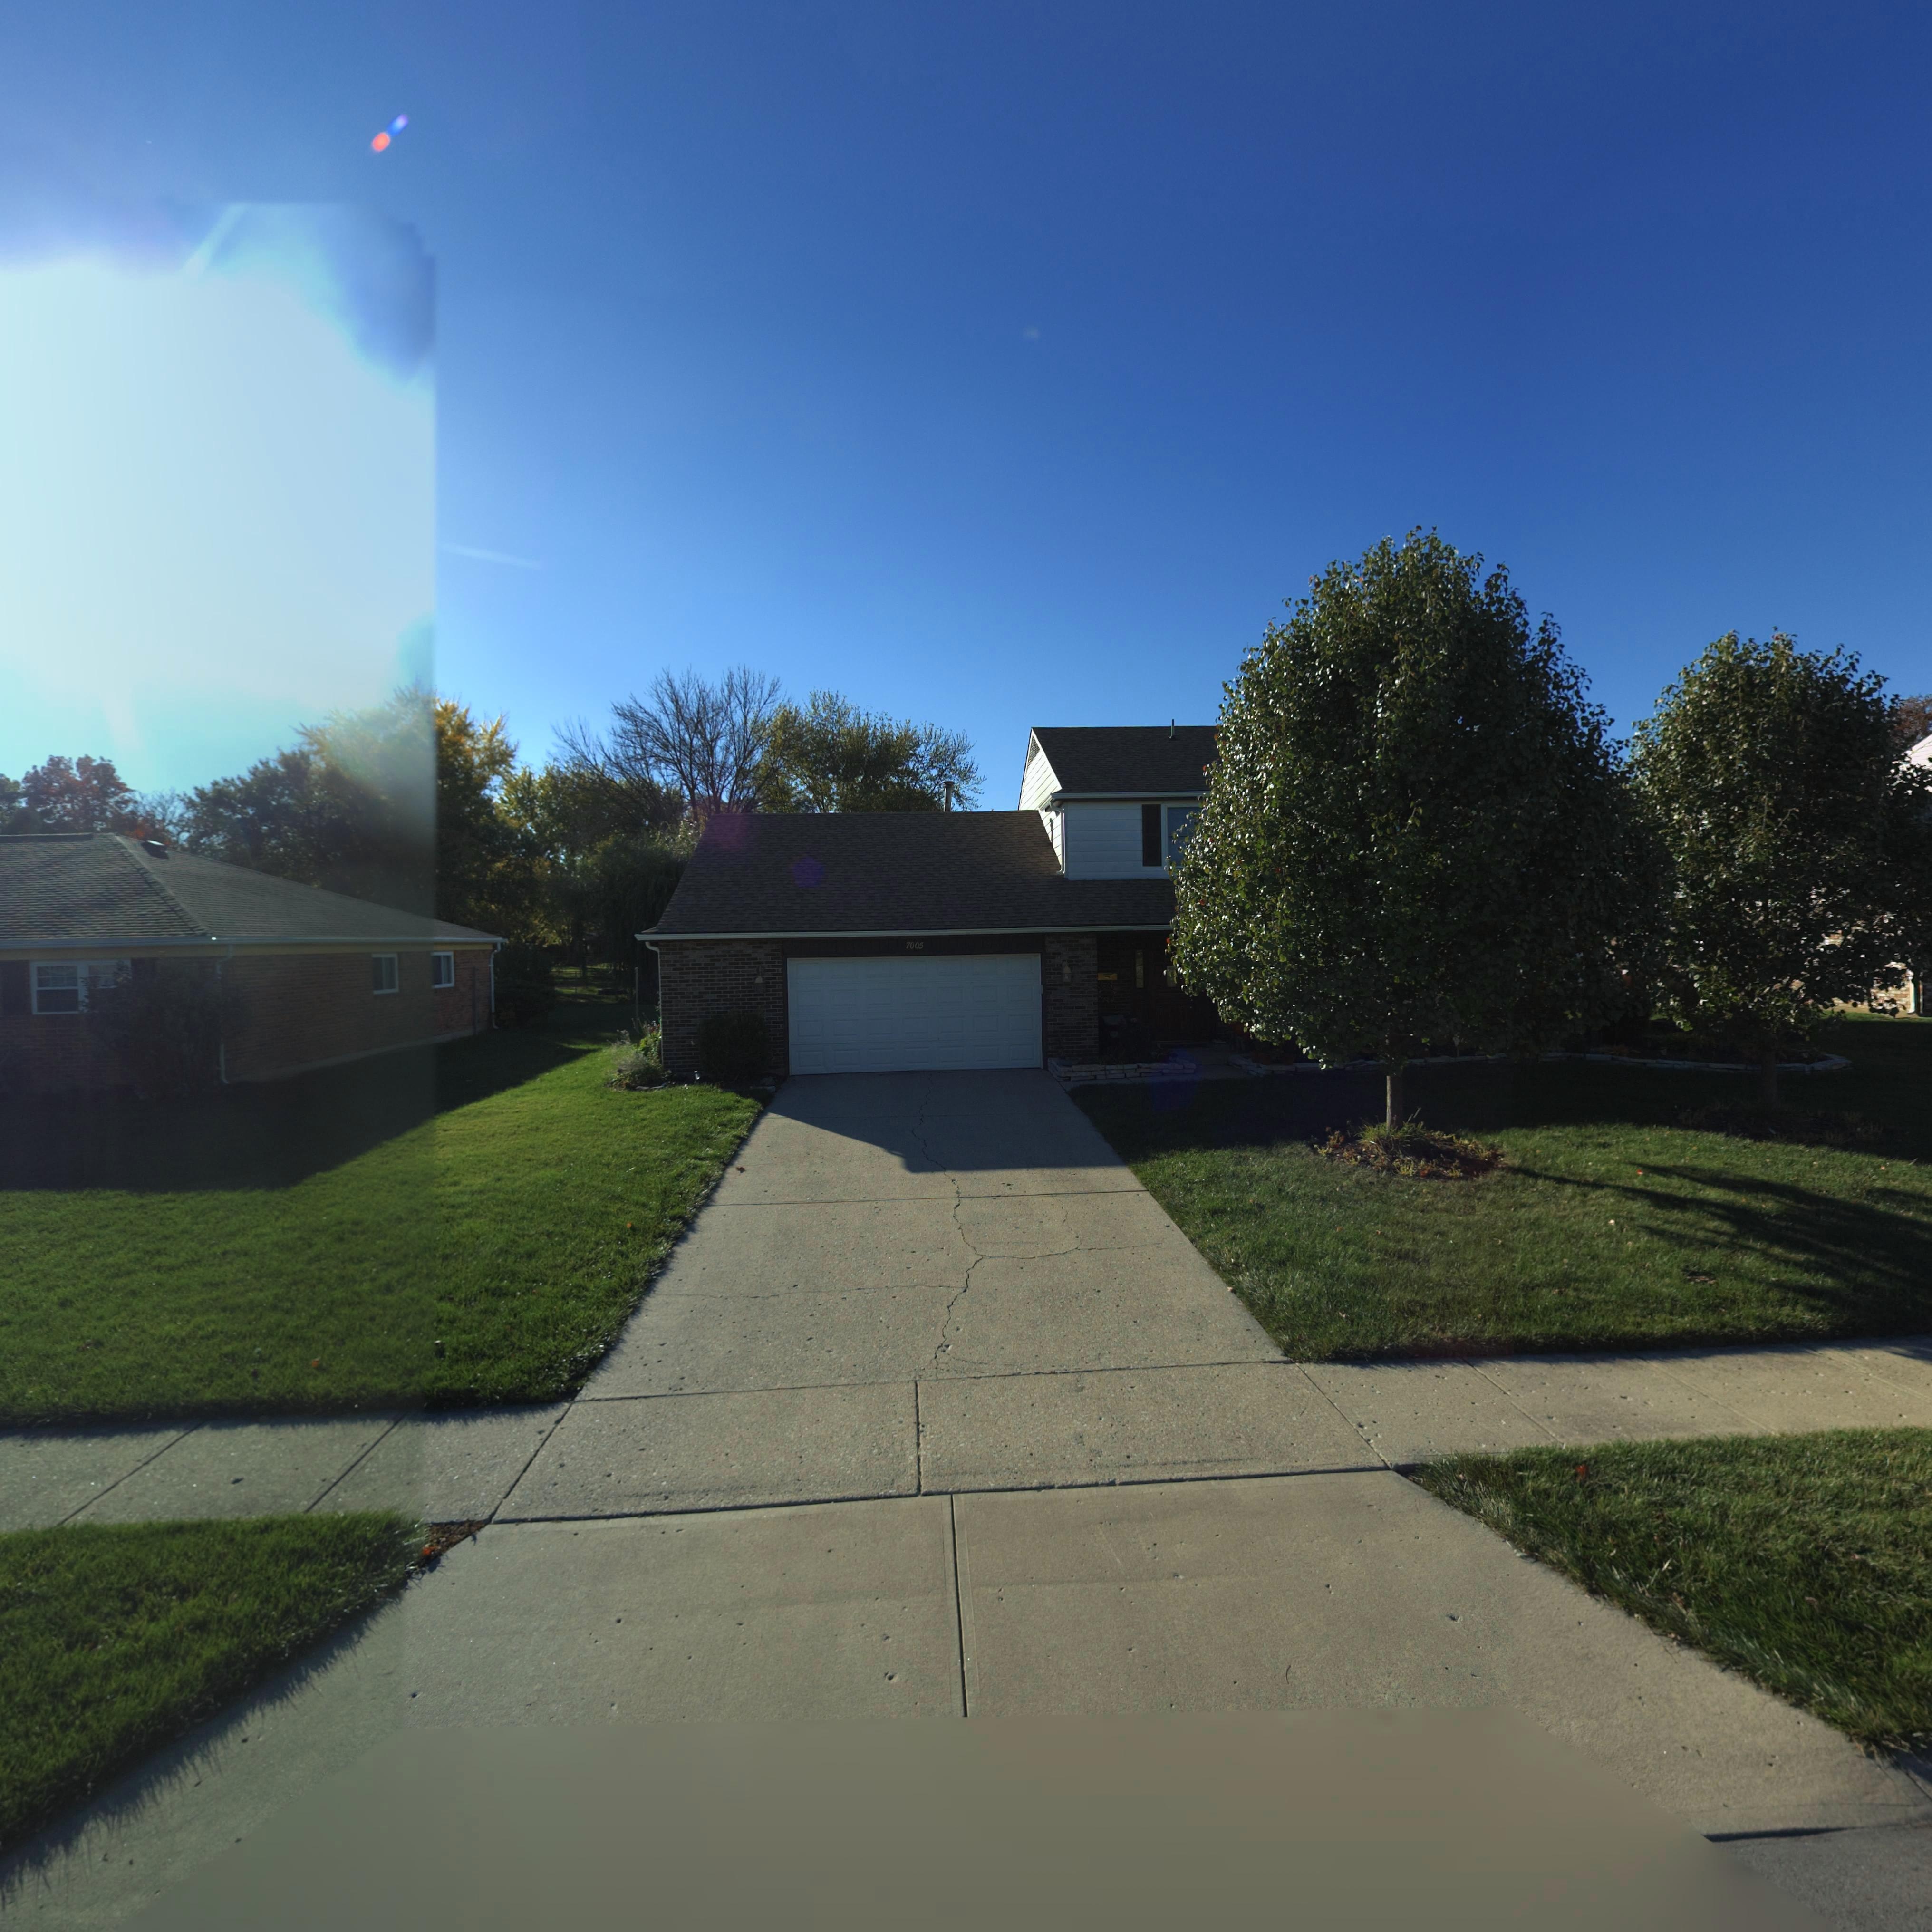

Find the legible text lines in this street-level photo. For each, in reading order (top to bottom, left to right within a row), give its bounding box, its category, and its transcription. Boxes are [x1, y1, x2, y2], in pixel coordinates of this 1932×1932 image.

[906, 941, 924, 950] StreetNumber: 7005